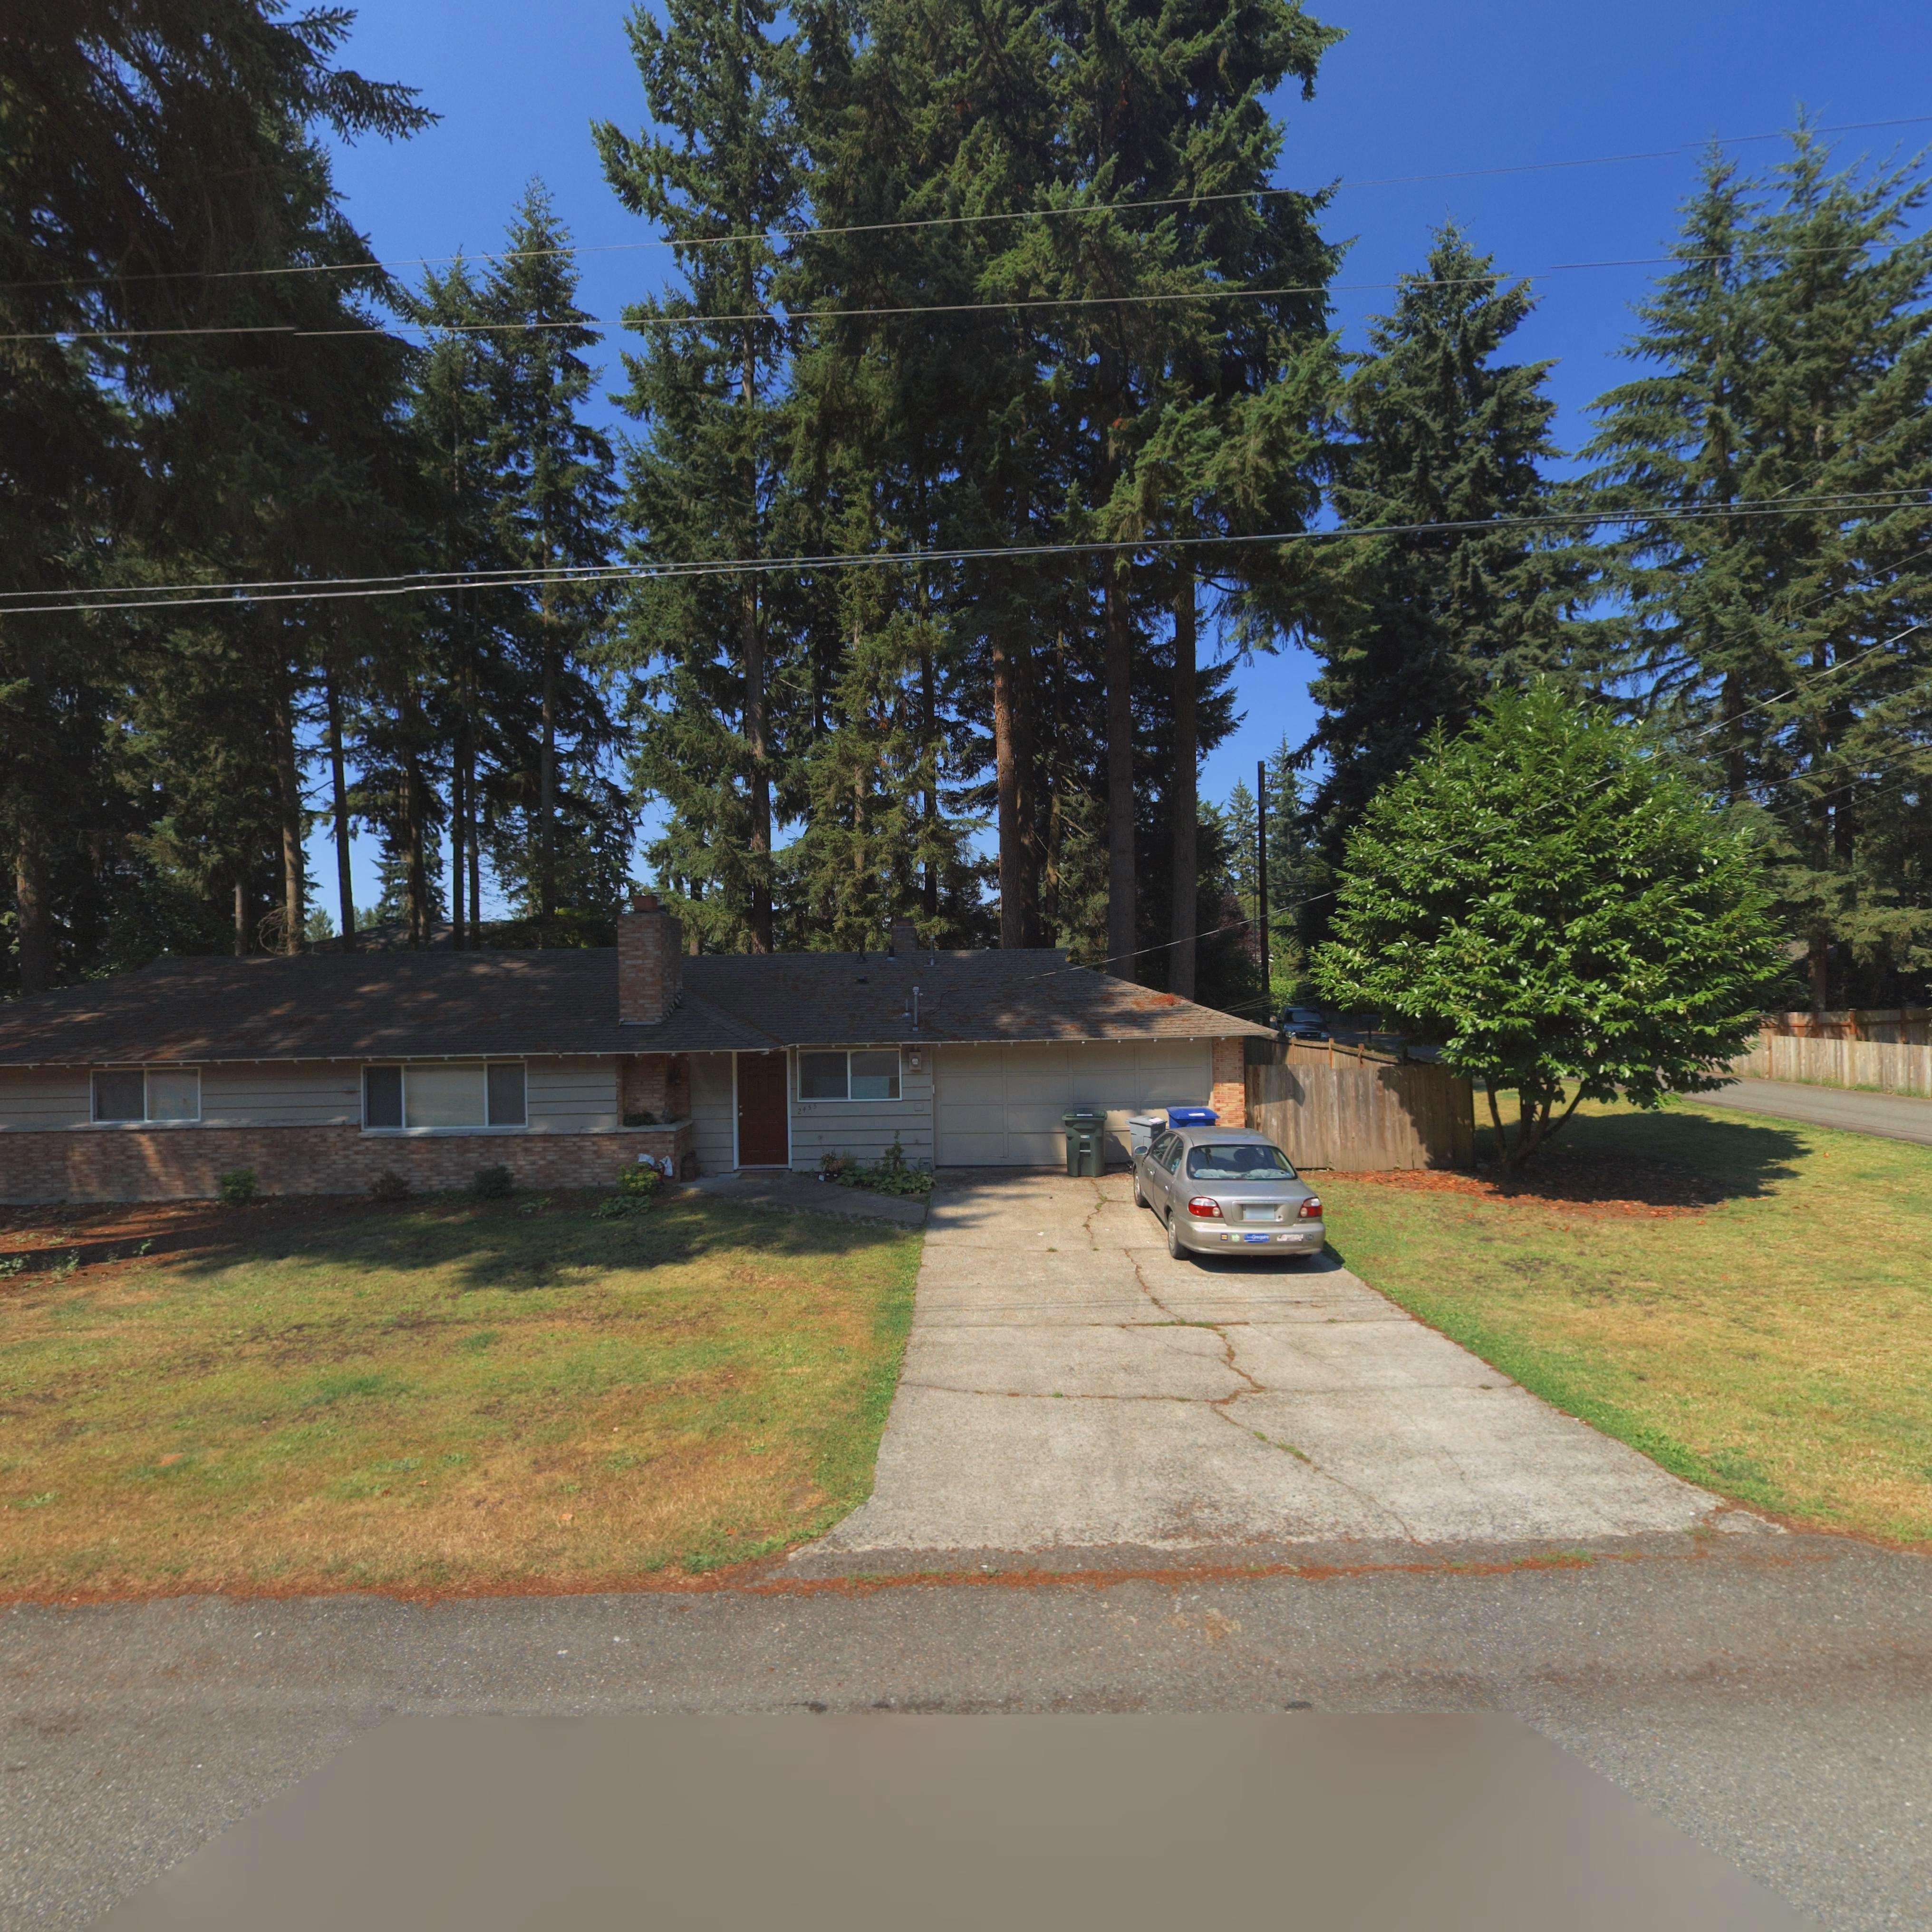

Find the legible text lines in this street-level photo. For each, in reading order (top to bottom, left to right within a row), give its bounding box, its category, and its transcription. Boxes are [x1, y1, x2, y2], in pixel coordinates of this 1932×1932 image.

[797, 1102, 817, 1115] StreetNumber: 2455